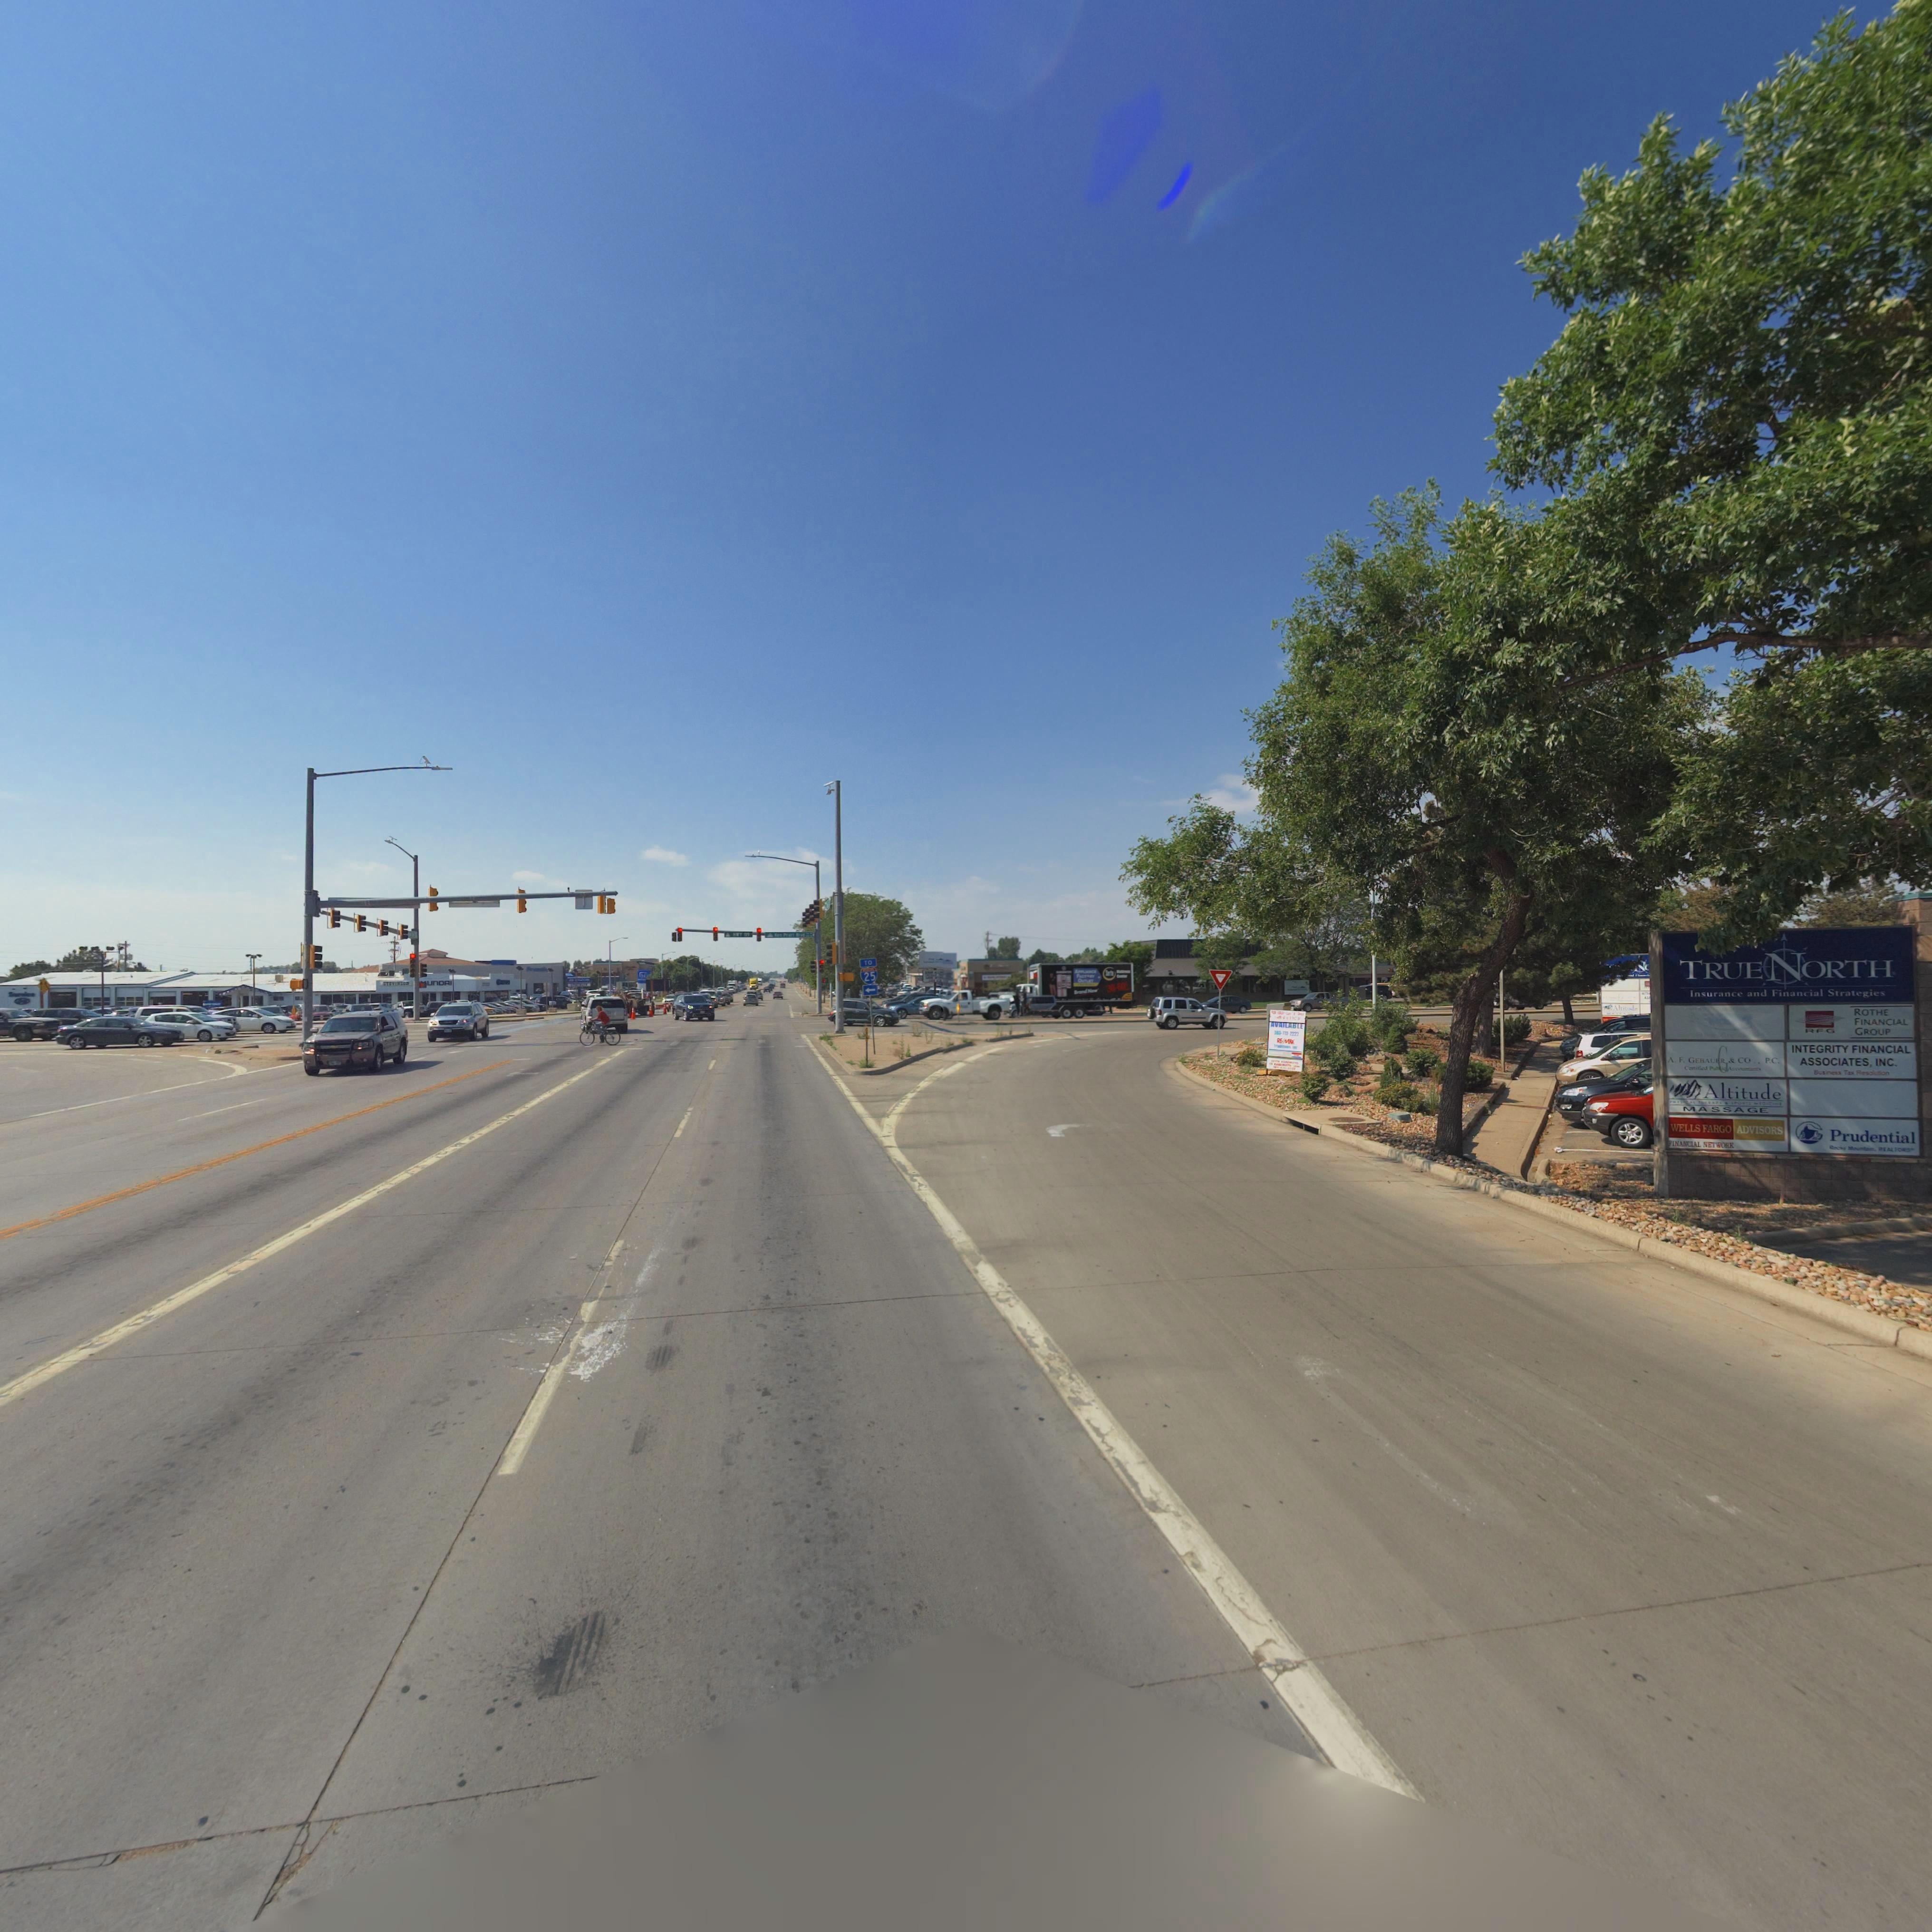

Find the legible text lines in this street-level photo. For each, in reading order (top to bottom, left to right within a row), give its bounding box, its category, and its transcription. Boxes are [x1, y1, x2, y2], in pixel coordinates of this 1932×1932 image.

[732, 932, 750, 937] StreetName: HWY 119
[774, 932, 805, 937] StreetName: Ken Pratt Blvd
[922, 960, 934, 963] BusinessName: National
[928, 957, 934, 961] BusinessName: First
[526, 966, 549, 972] BusinessName: Fronti**
[1679, 952, 1893, 982] BusinessName: TRUENORTH
[382, 980, 452, 985] None: STEVINSON **UNDAI
[1613, 1005, 1638, 1011] BusinessName: Altitude
[1606, 1012, 1633, 1015] BusinessName: MASSAGE
[1854, 1008, 1889, 1016] BusinessName: ROTHE
[1854, 1017, 1909, 1026] BusinessName: FINANCIAL
[1805, 1028, 1835, 1034] BusinessName: RFG
[1854, 1027, 1891, 1035] BusinessName: GROUP
[1791, 1044, 1911, 1053] BusinessName: INTEGRITY FINANCIAL
[1667, 1056, 1780, 1064] BusinessName: A. F. GEBAUER & CO .. P.C.
[1799, 1056, 1897, 1067] BusinessName: ASSOCIATES, INC.
[1702, 1082, 1782, 1100] BusinessName: Altitude
[1683, 1106, 1768, 1113] BusinessName: MASSAGE
[1670, 1123, 1783, 1135] BusinessName: WELLS FARGO ADVISORS
[1830, 1129, 1916, 1144] BusinessName: Prudential